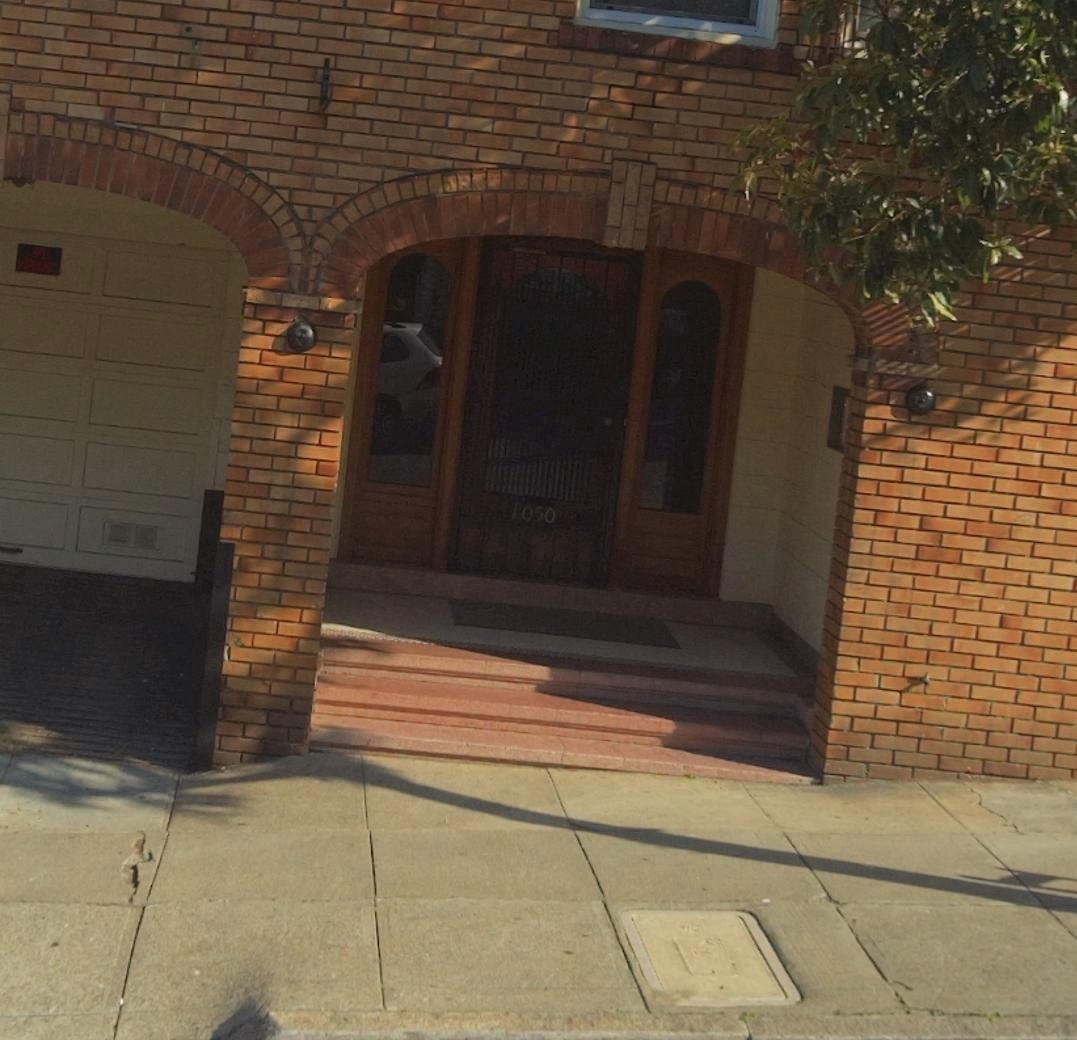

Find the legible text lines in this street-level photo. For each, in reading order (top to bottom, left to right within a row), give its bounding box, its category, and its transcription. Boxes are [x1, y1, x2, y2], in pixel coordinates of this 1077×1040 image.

[506, 500, 558, 529] StreetNumber: 1050